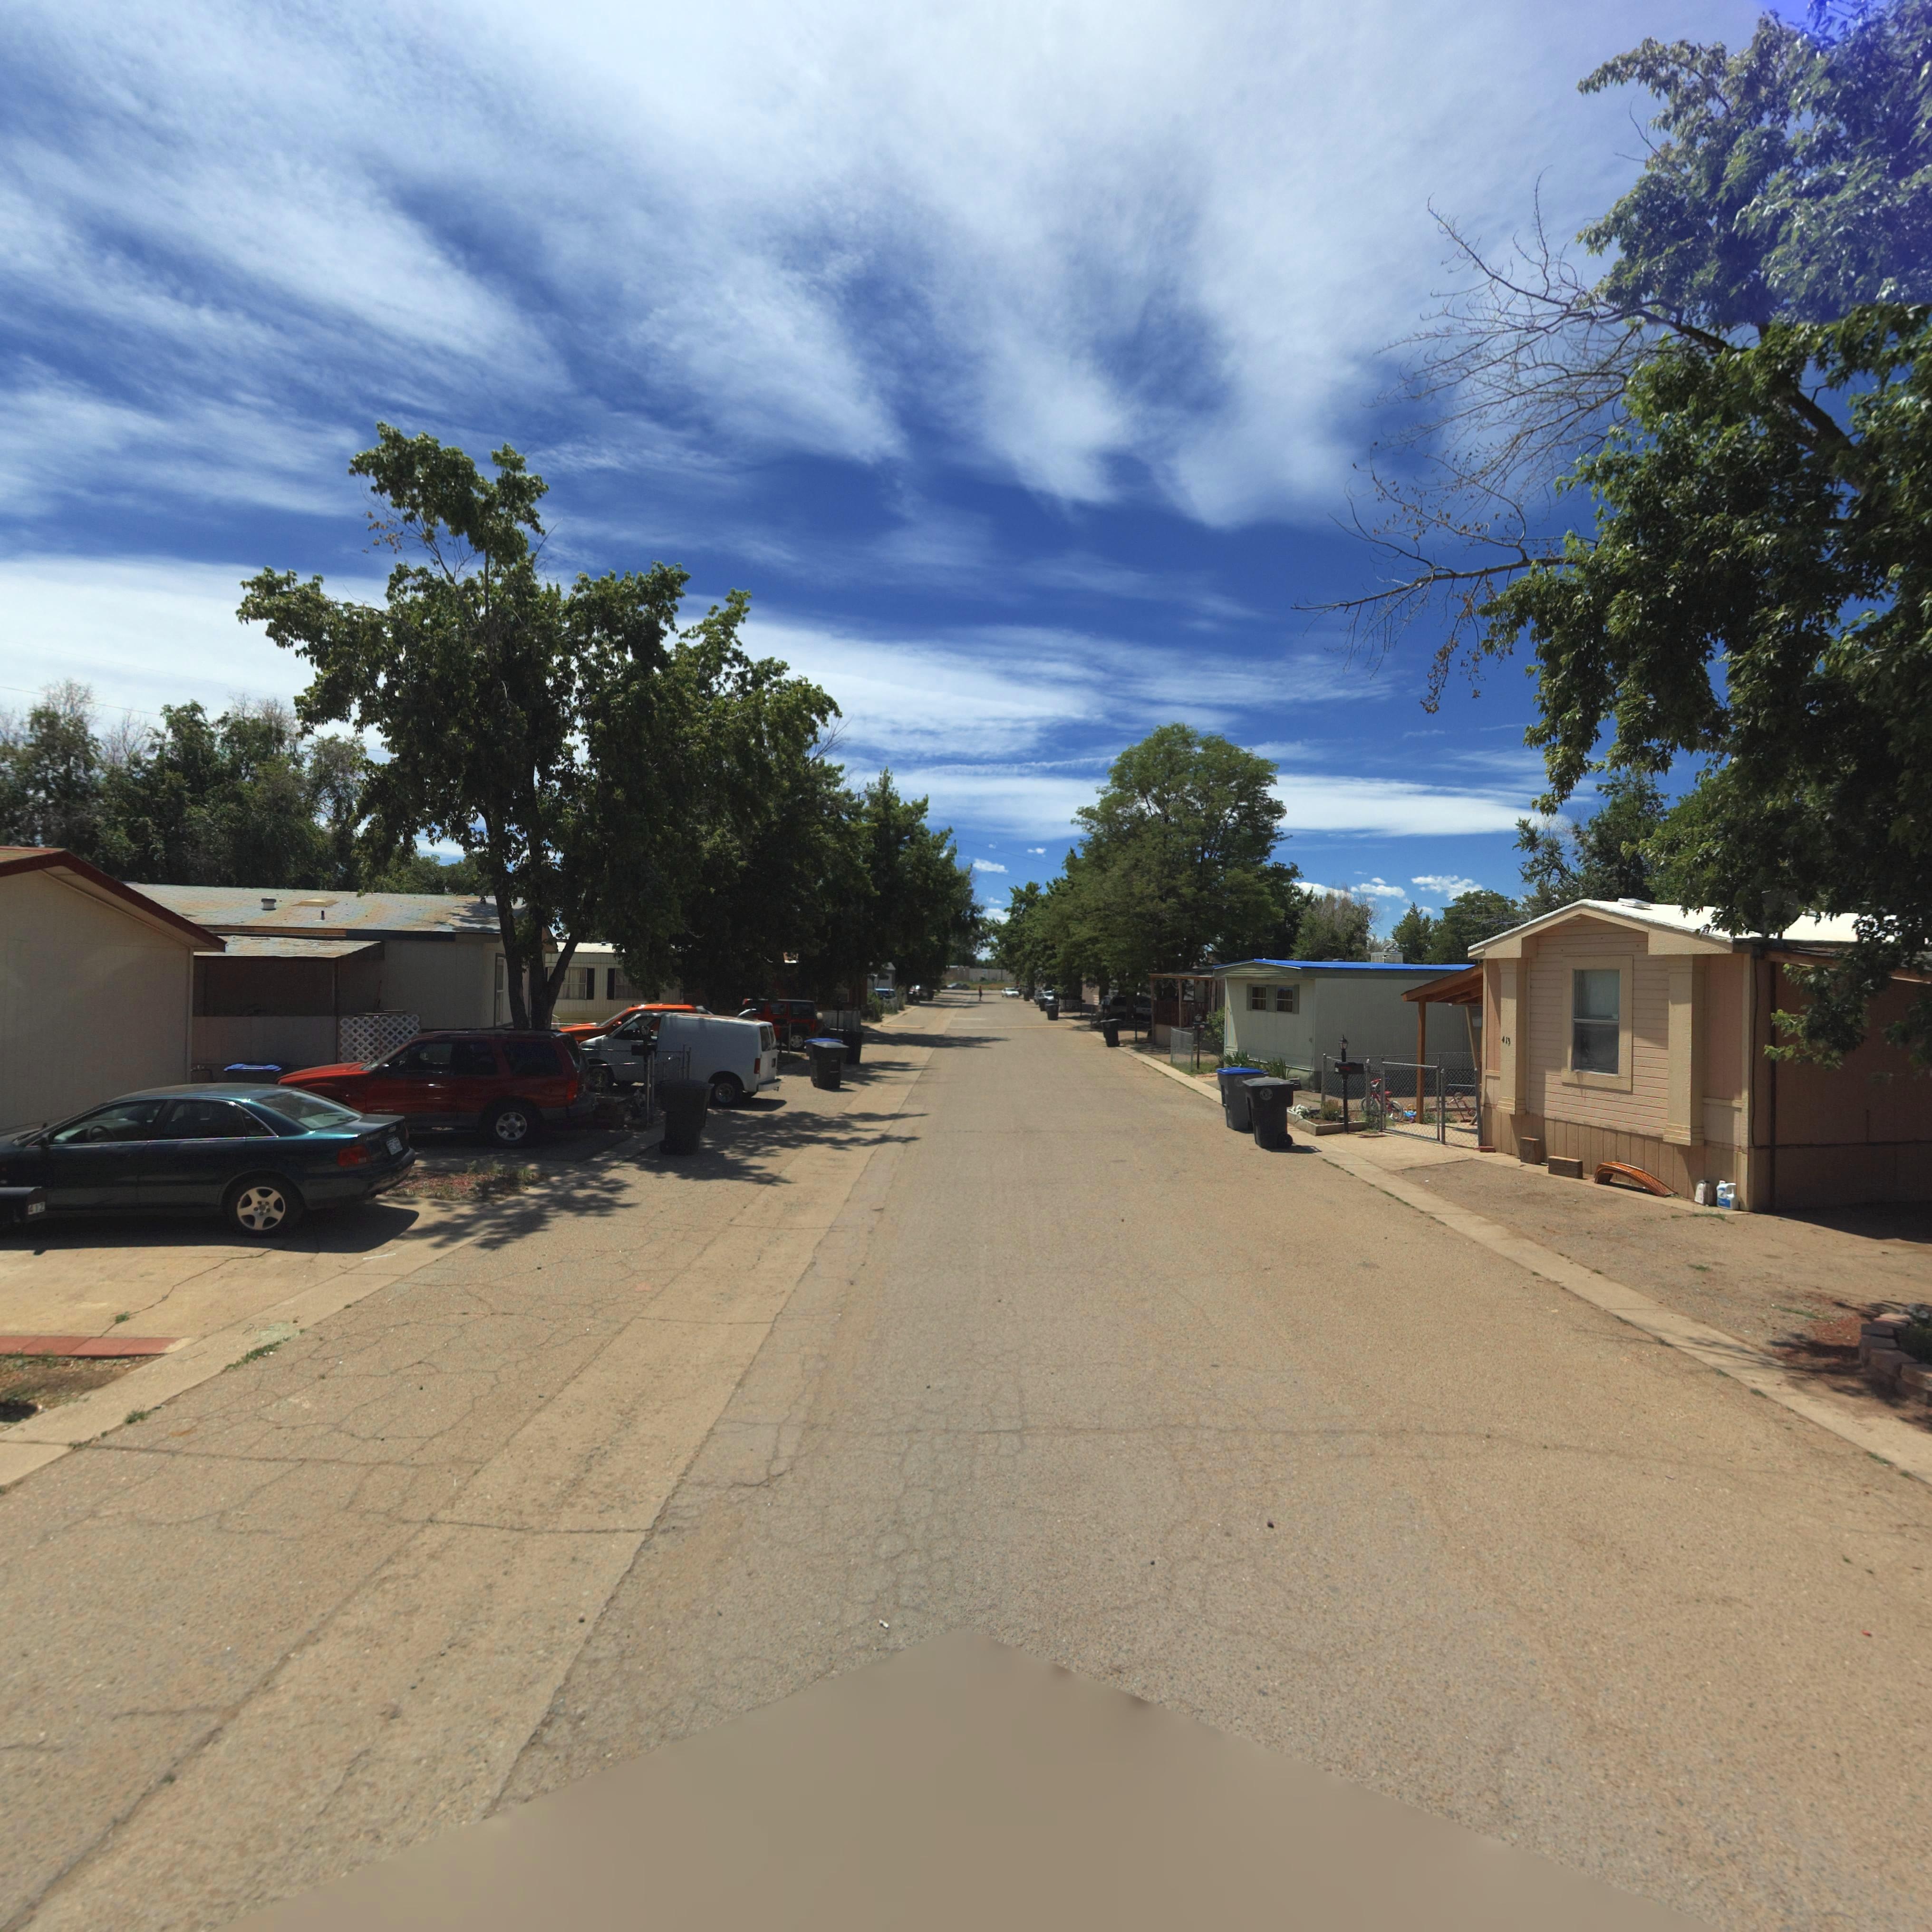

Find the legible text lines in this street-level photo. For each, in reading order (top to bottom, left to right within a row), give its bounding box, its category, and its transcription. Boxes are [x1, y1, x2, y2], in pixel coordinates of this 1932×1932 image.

[1501, 1035, 1510, 1044] StreetNumber: 413
[28, 1202, 44, 1213] StreetNumber: *12